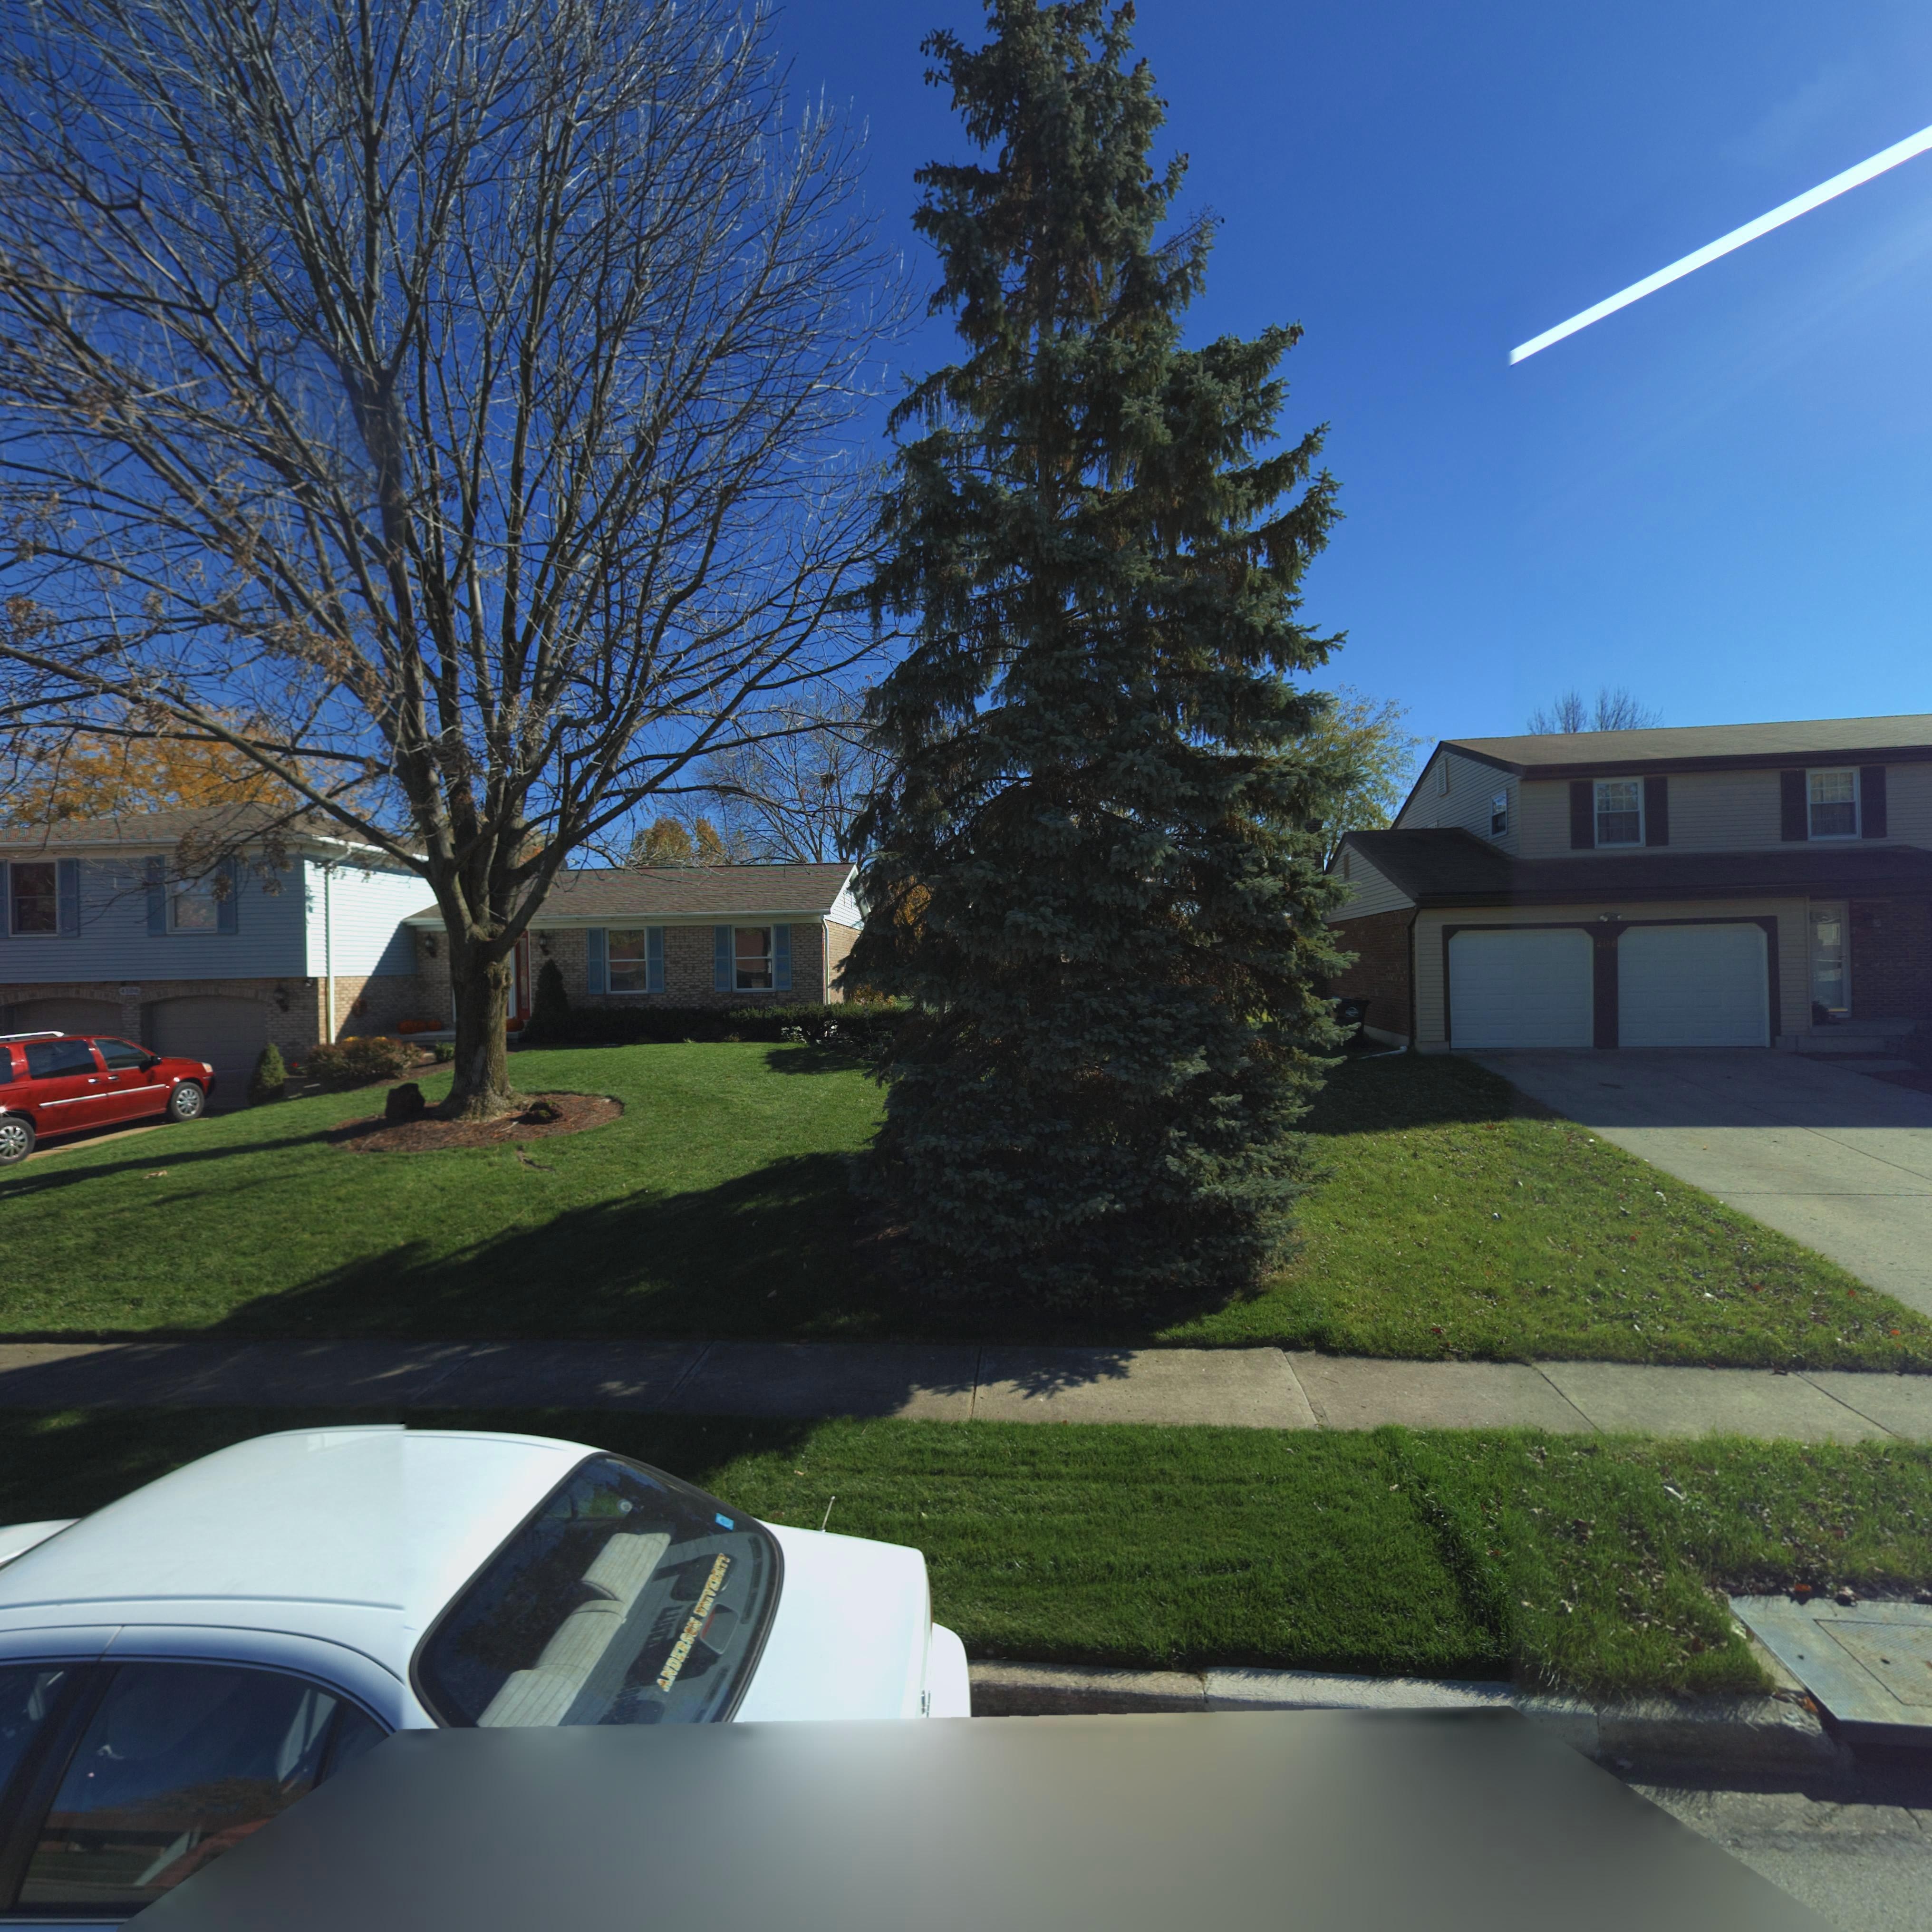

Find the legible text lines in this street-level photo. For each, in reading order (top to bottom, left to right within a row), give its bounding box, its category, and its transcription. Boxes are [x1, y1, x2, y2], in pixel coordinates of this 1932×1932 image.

[1595, 939, 1617, 949] StreetNumber: 4110
[119, 987, 140, 994] StreetNumber: 4106